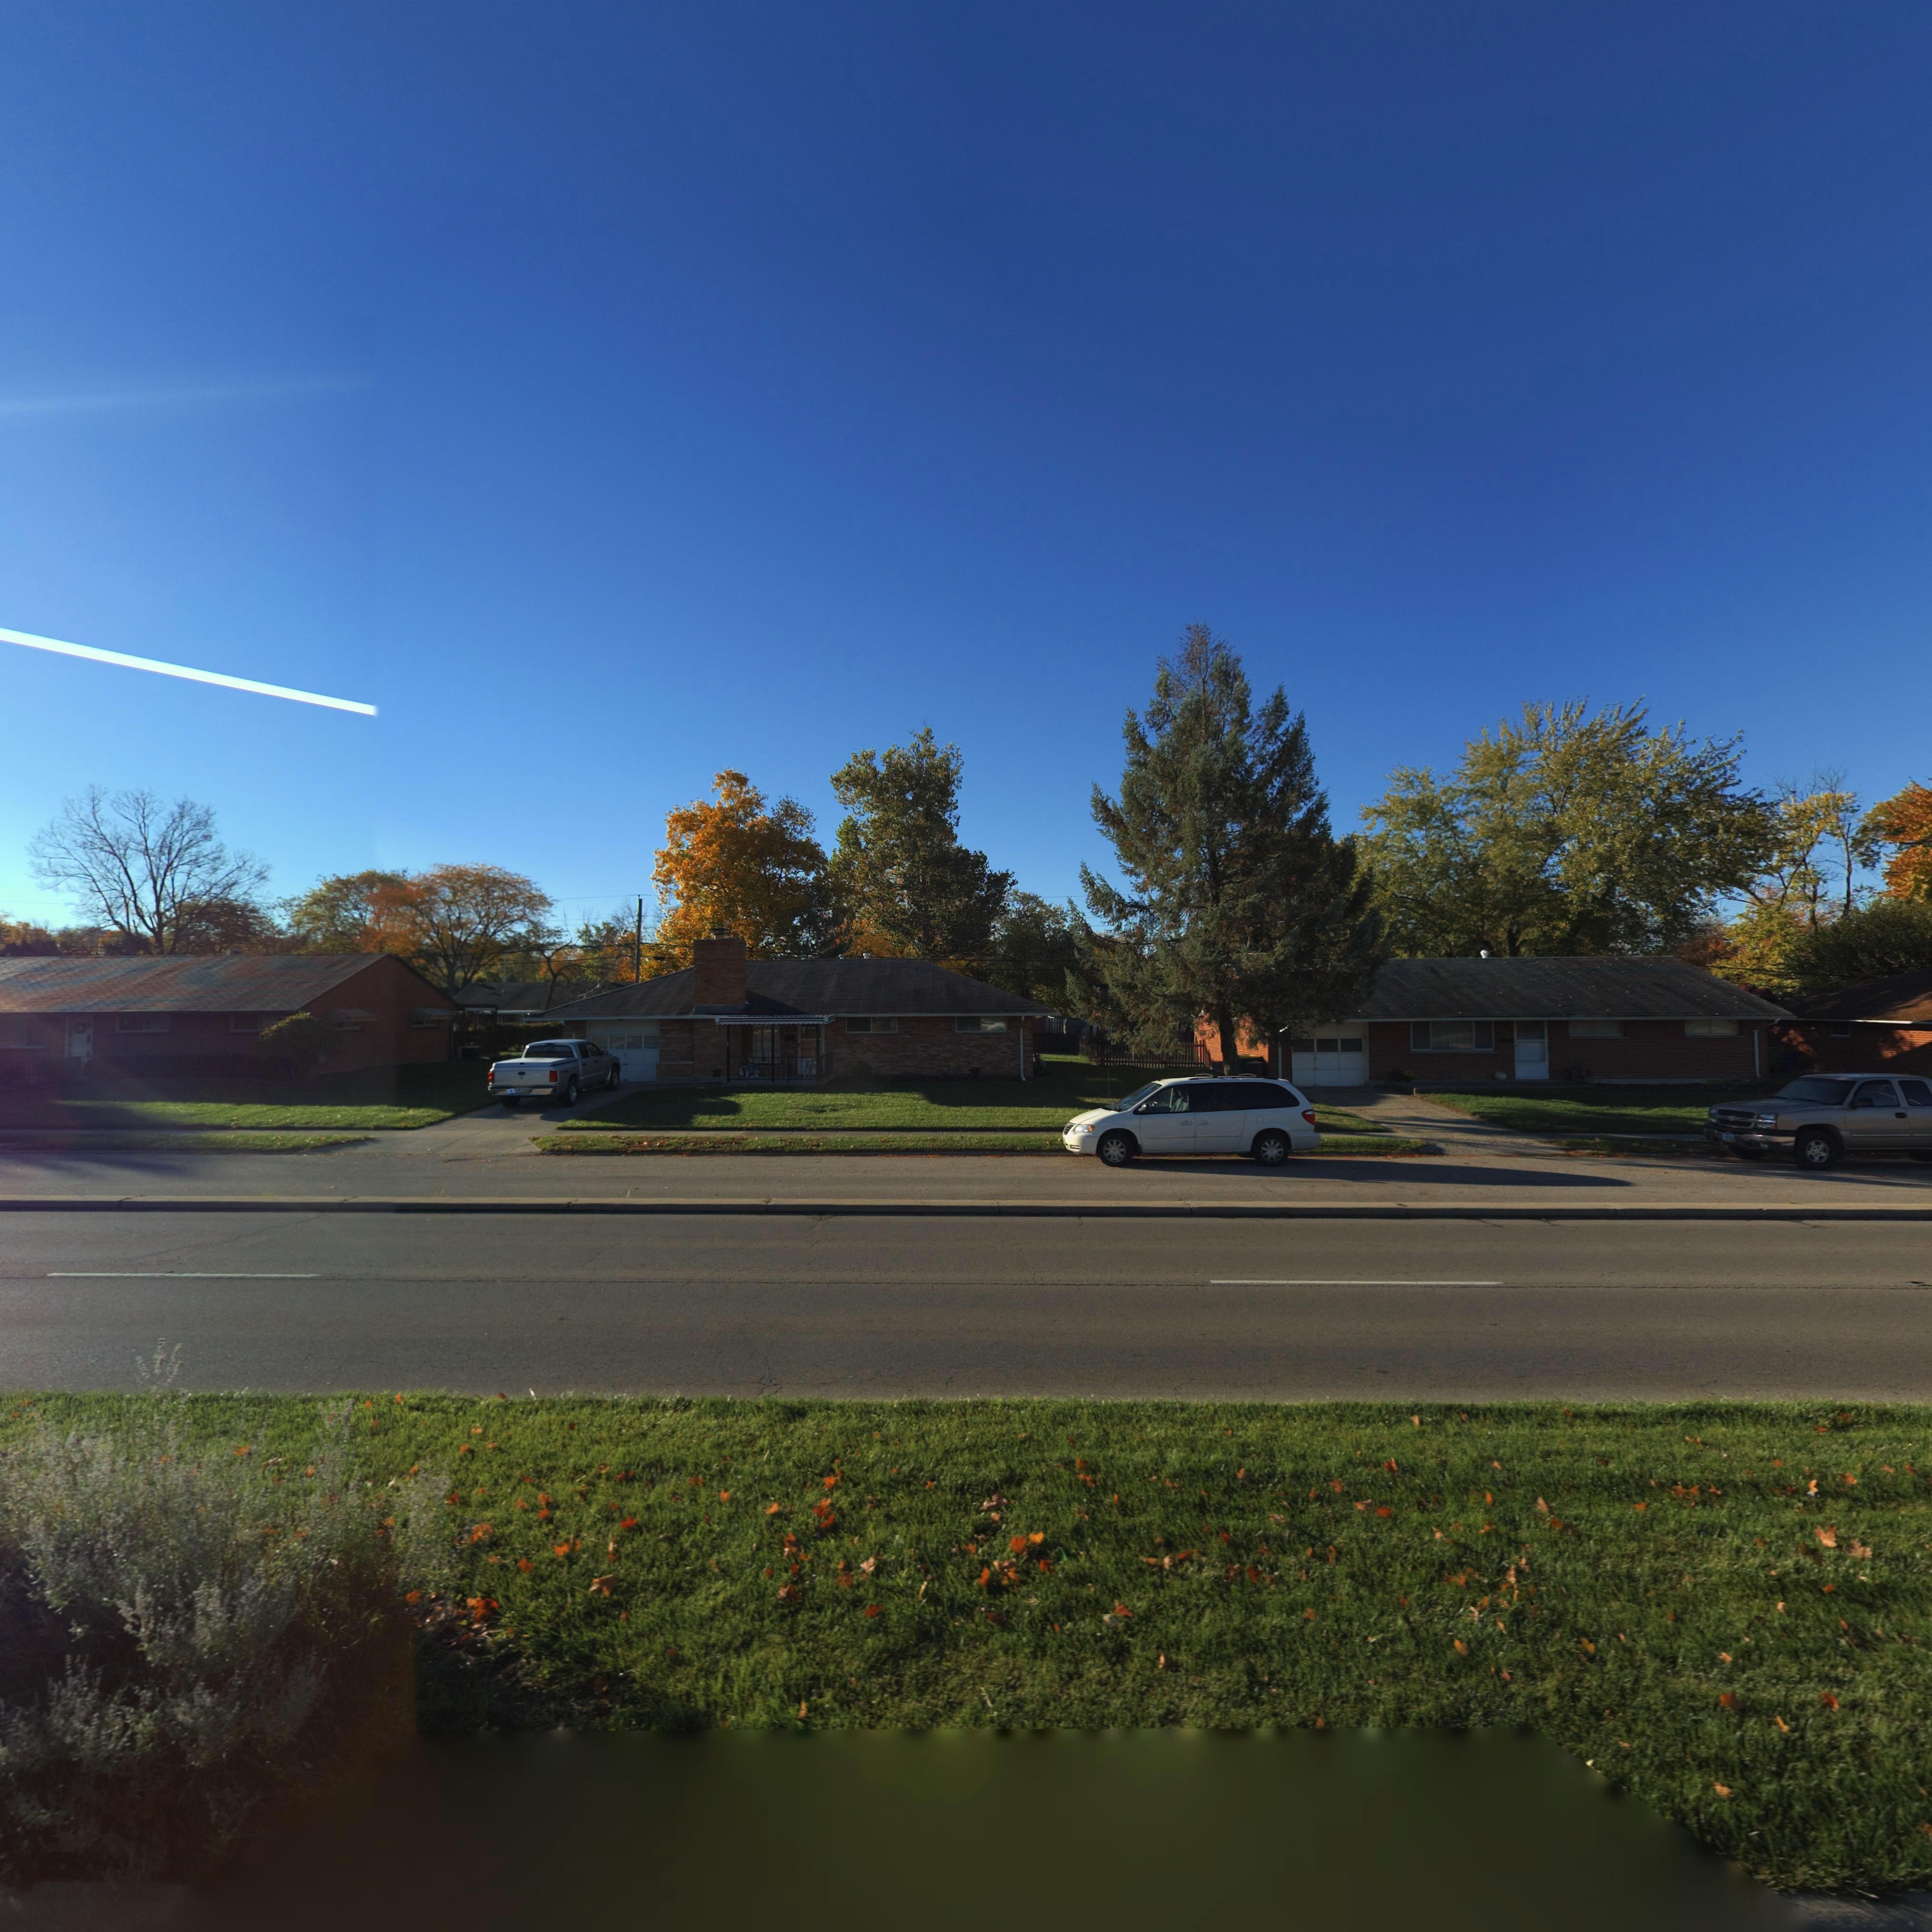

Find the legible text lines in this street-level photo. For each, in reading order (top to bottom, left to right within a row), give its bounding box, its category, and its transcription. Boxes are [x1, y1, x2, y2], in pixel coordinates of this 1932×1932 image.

[781, 1027, 794, 1033] StreetNumber: 2***